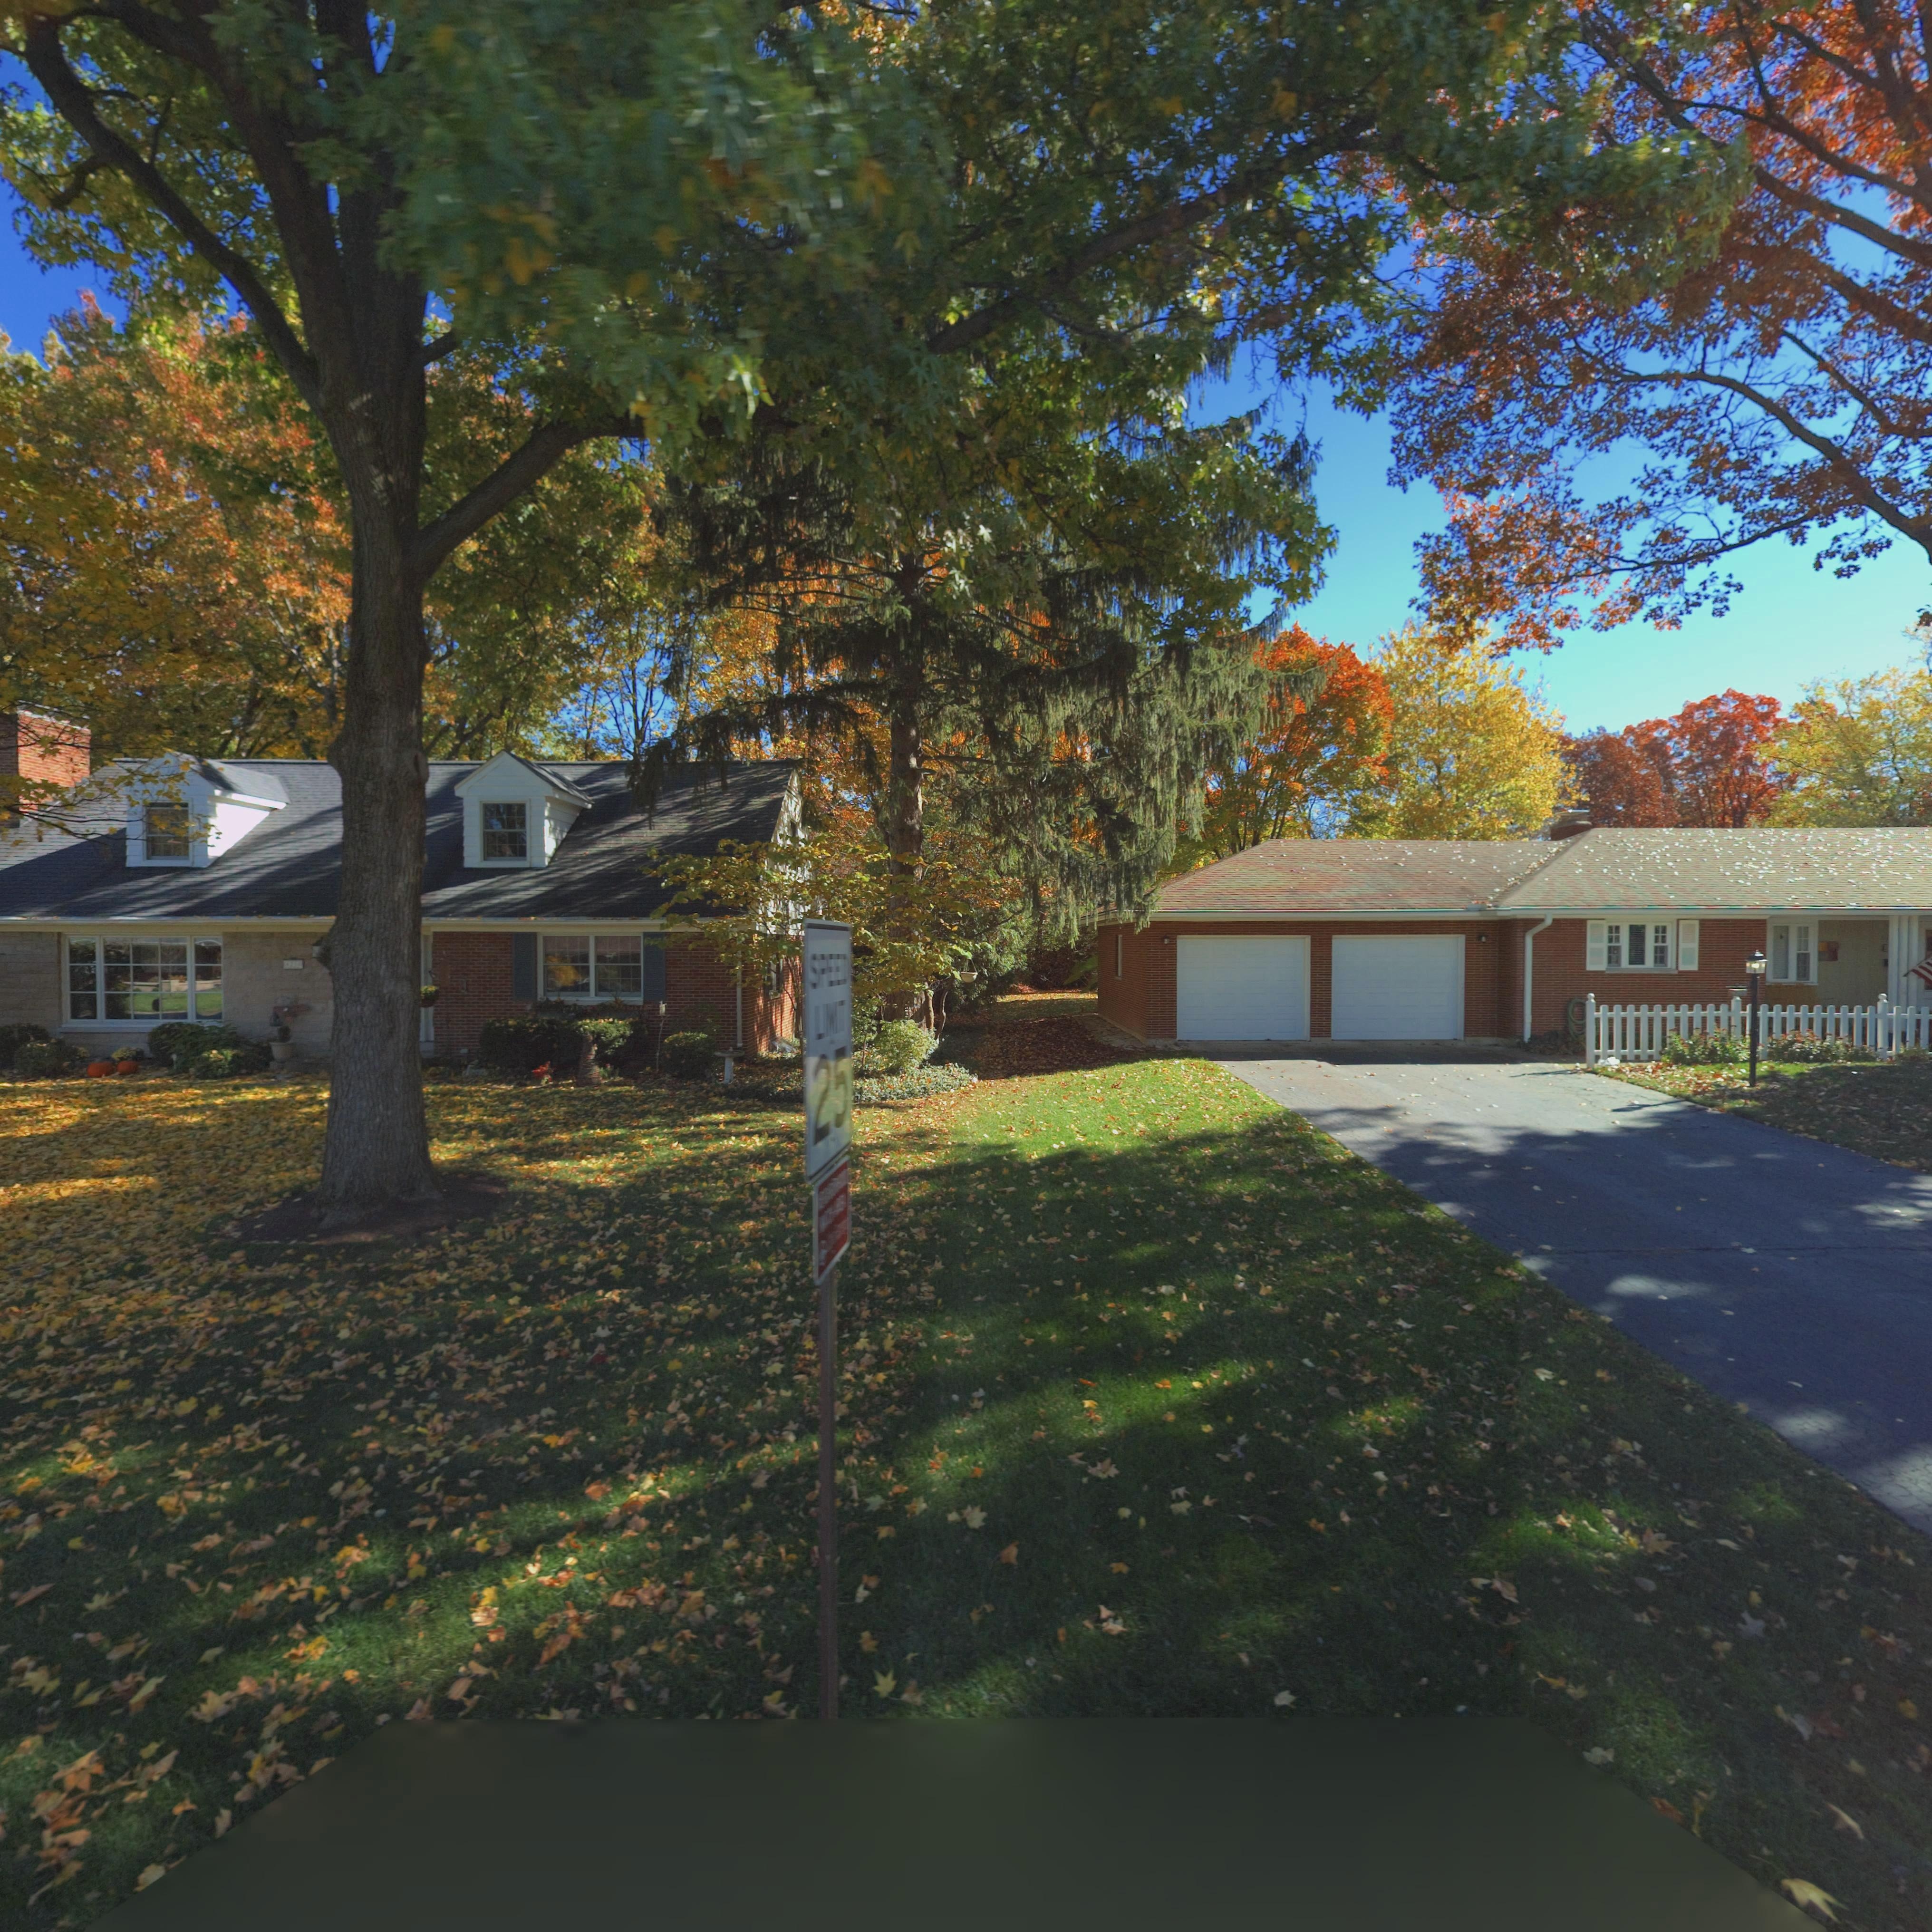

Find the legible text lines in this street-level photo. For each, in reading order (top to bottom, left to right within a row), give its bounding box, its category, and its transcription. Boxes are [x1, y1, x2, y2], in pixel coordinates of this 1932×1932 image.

[284, 960, 302, 969] StreetNumber: 4***